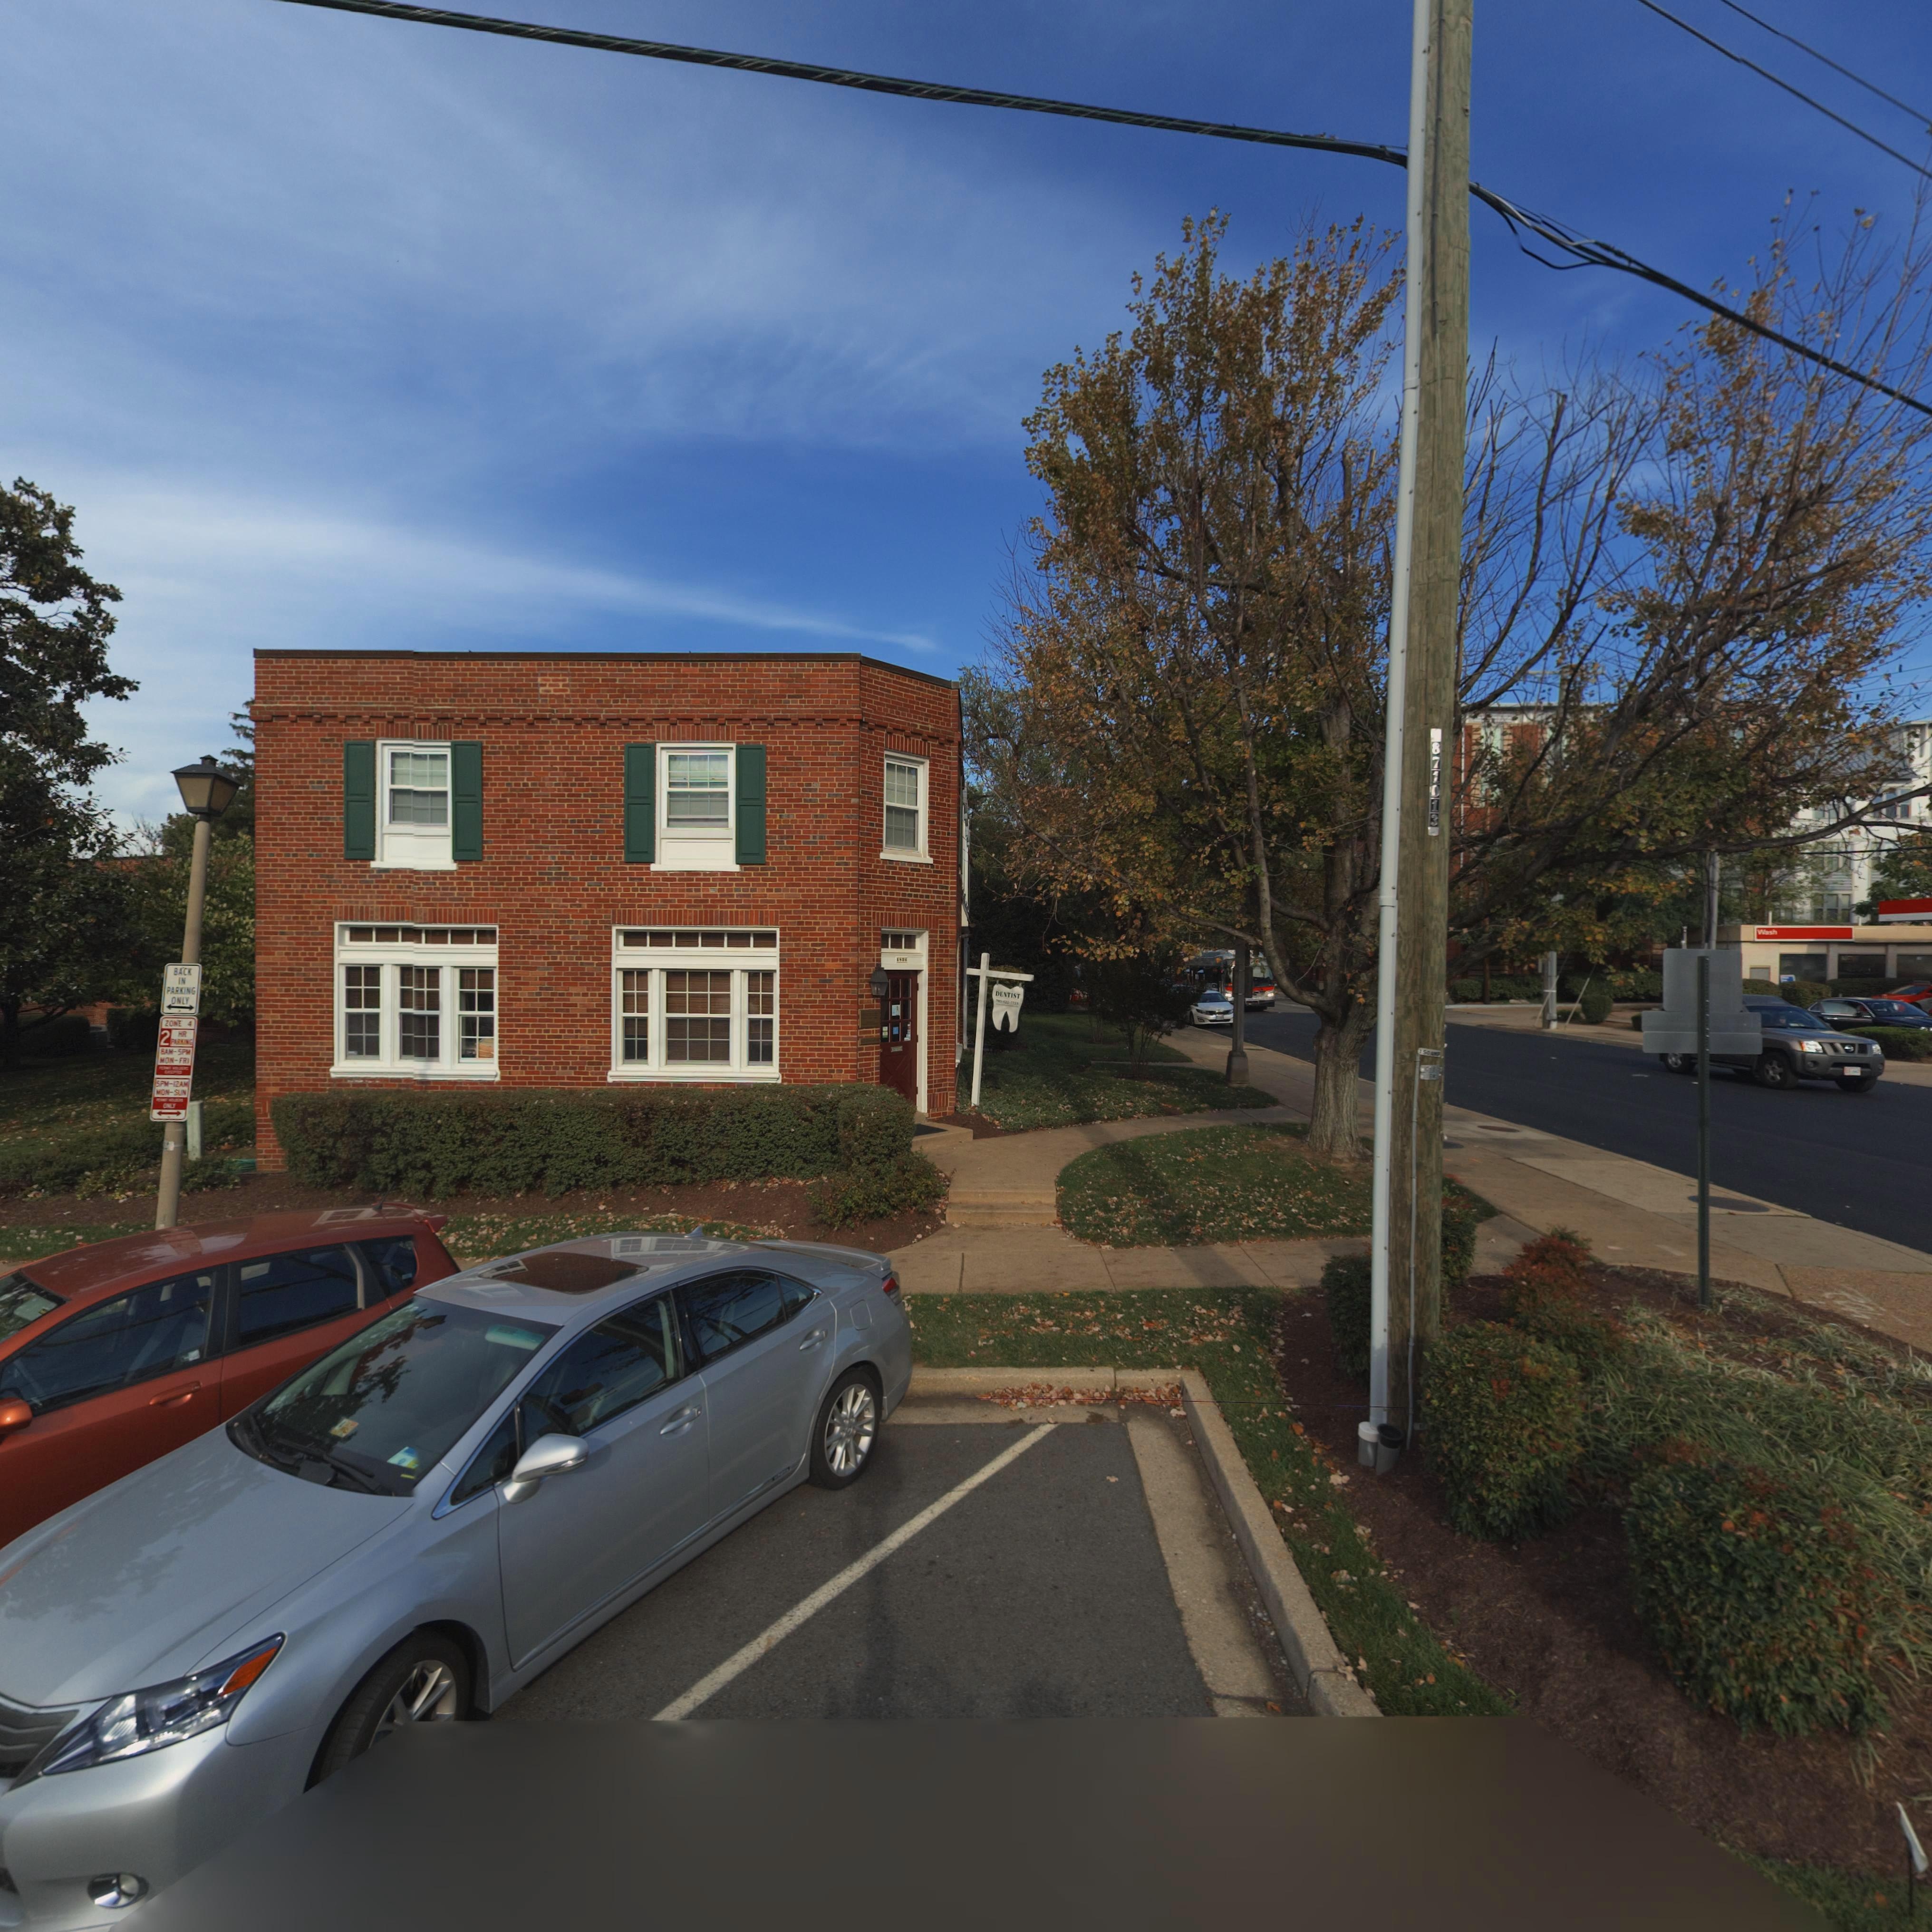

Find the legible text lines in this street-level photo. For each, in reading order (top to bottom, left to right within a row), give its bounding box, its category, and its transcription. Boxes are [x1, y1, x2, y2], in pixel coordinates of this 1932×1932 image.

[1428, 742, 1442, 827] None: 877013
[1756, 929, 1778, 935] None: Wash
[897, 957, 907, 962] StreetNumber: 1**1
[173, 967, 193, 976] None: BACK
[177, 976, 186, 985] None: IN
[165, 986, 196, 995] None: PARKING
[995, 990, 1021, 999] None: DENTIST
[171, 996, 191, 1005] None: ONLY
[996, 999, 1019, 1006] None: 703-*22-7733
[164, 1019, 193, 1027] None: ZONE 4
[159, 1029, 171, 1046] None: 2
[170, 1038, 193, 1046] None: PARKING
[178, 1031, 187, 1037] None: HR
[159, 1047, 191, 1056] None: 8AM-5PM
[1419, 1048, 1441, 1058] None: 150 AMP
[158, 1056, 190, 1064] None: MON-FRI
[1425, 1066, 1429, 1072] None: C
[155, 1080, 190, 1088] None: 5PM-12AM
[155, 1088, 187, 1096] None: MON-SUN
[162, 1102, 177, 1110] None: ONLY